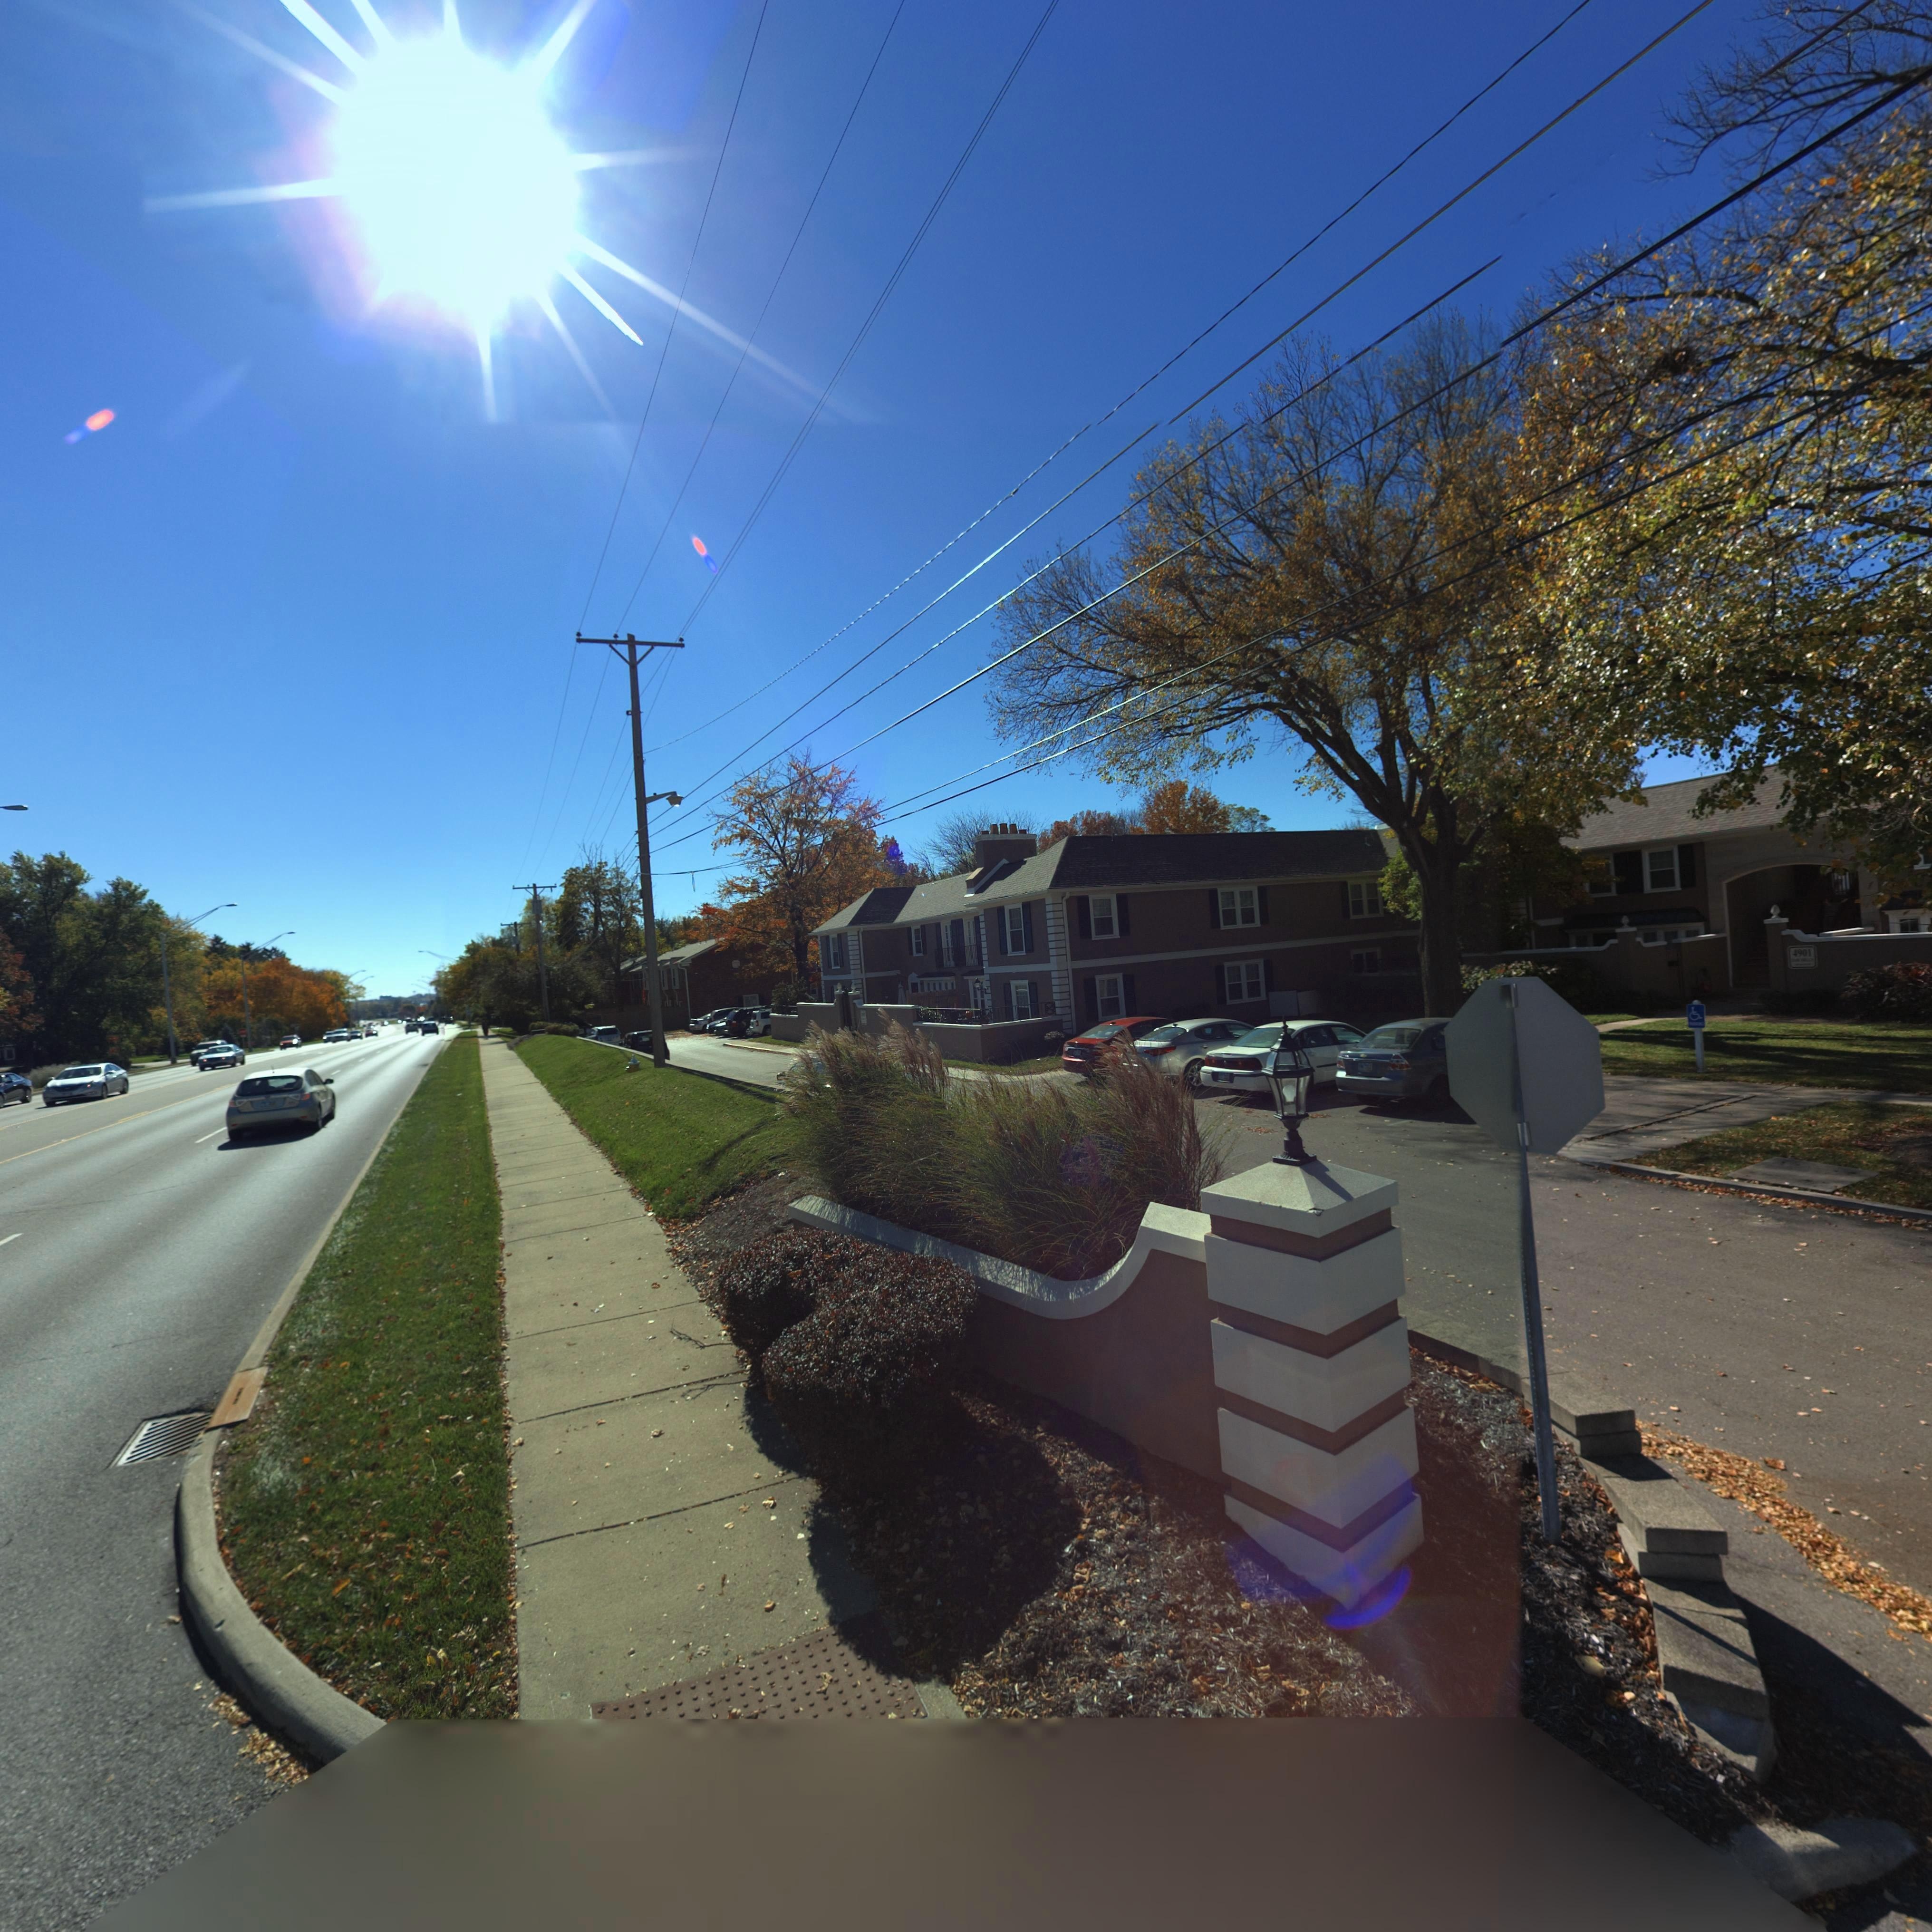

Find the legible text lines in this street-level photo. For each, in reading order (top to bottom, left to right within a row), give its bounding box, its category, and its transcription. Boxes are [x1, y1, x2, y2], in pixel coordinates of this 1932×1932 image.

[1792, 948, 1811, 957] StreetNumber: 4901